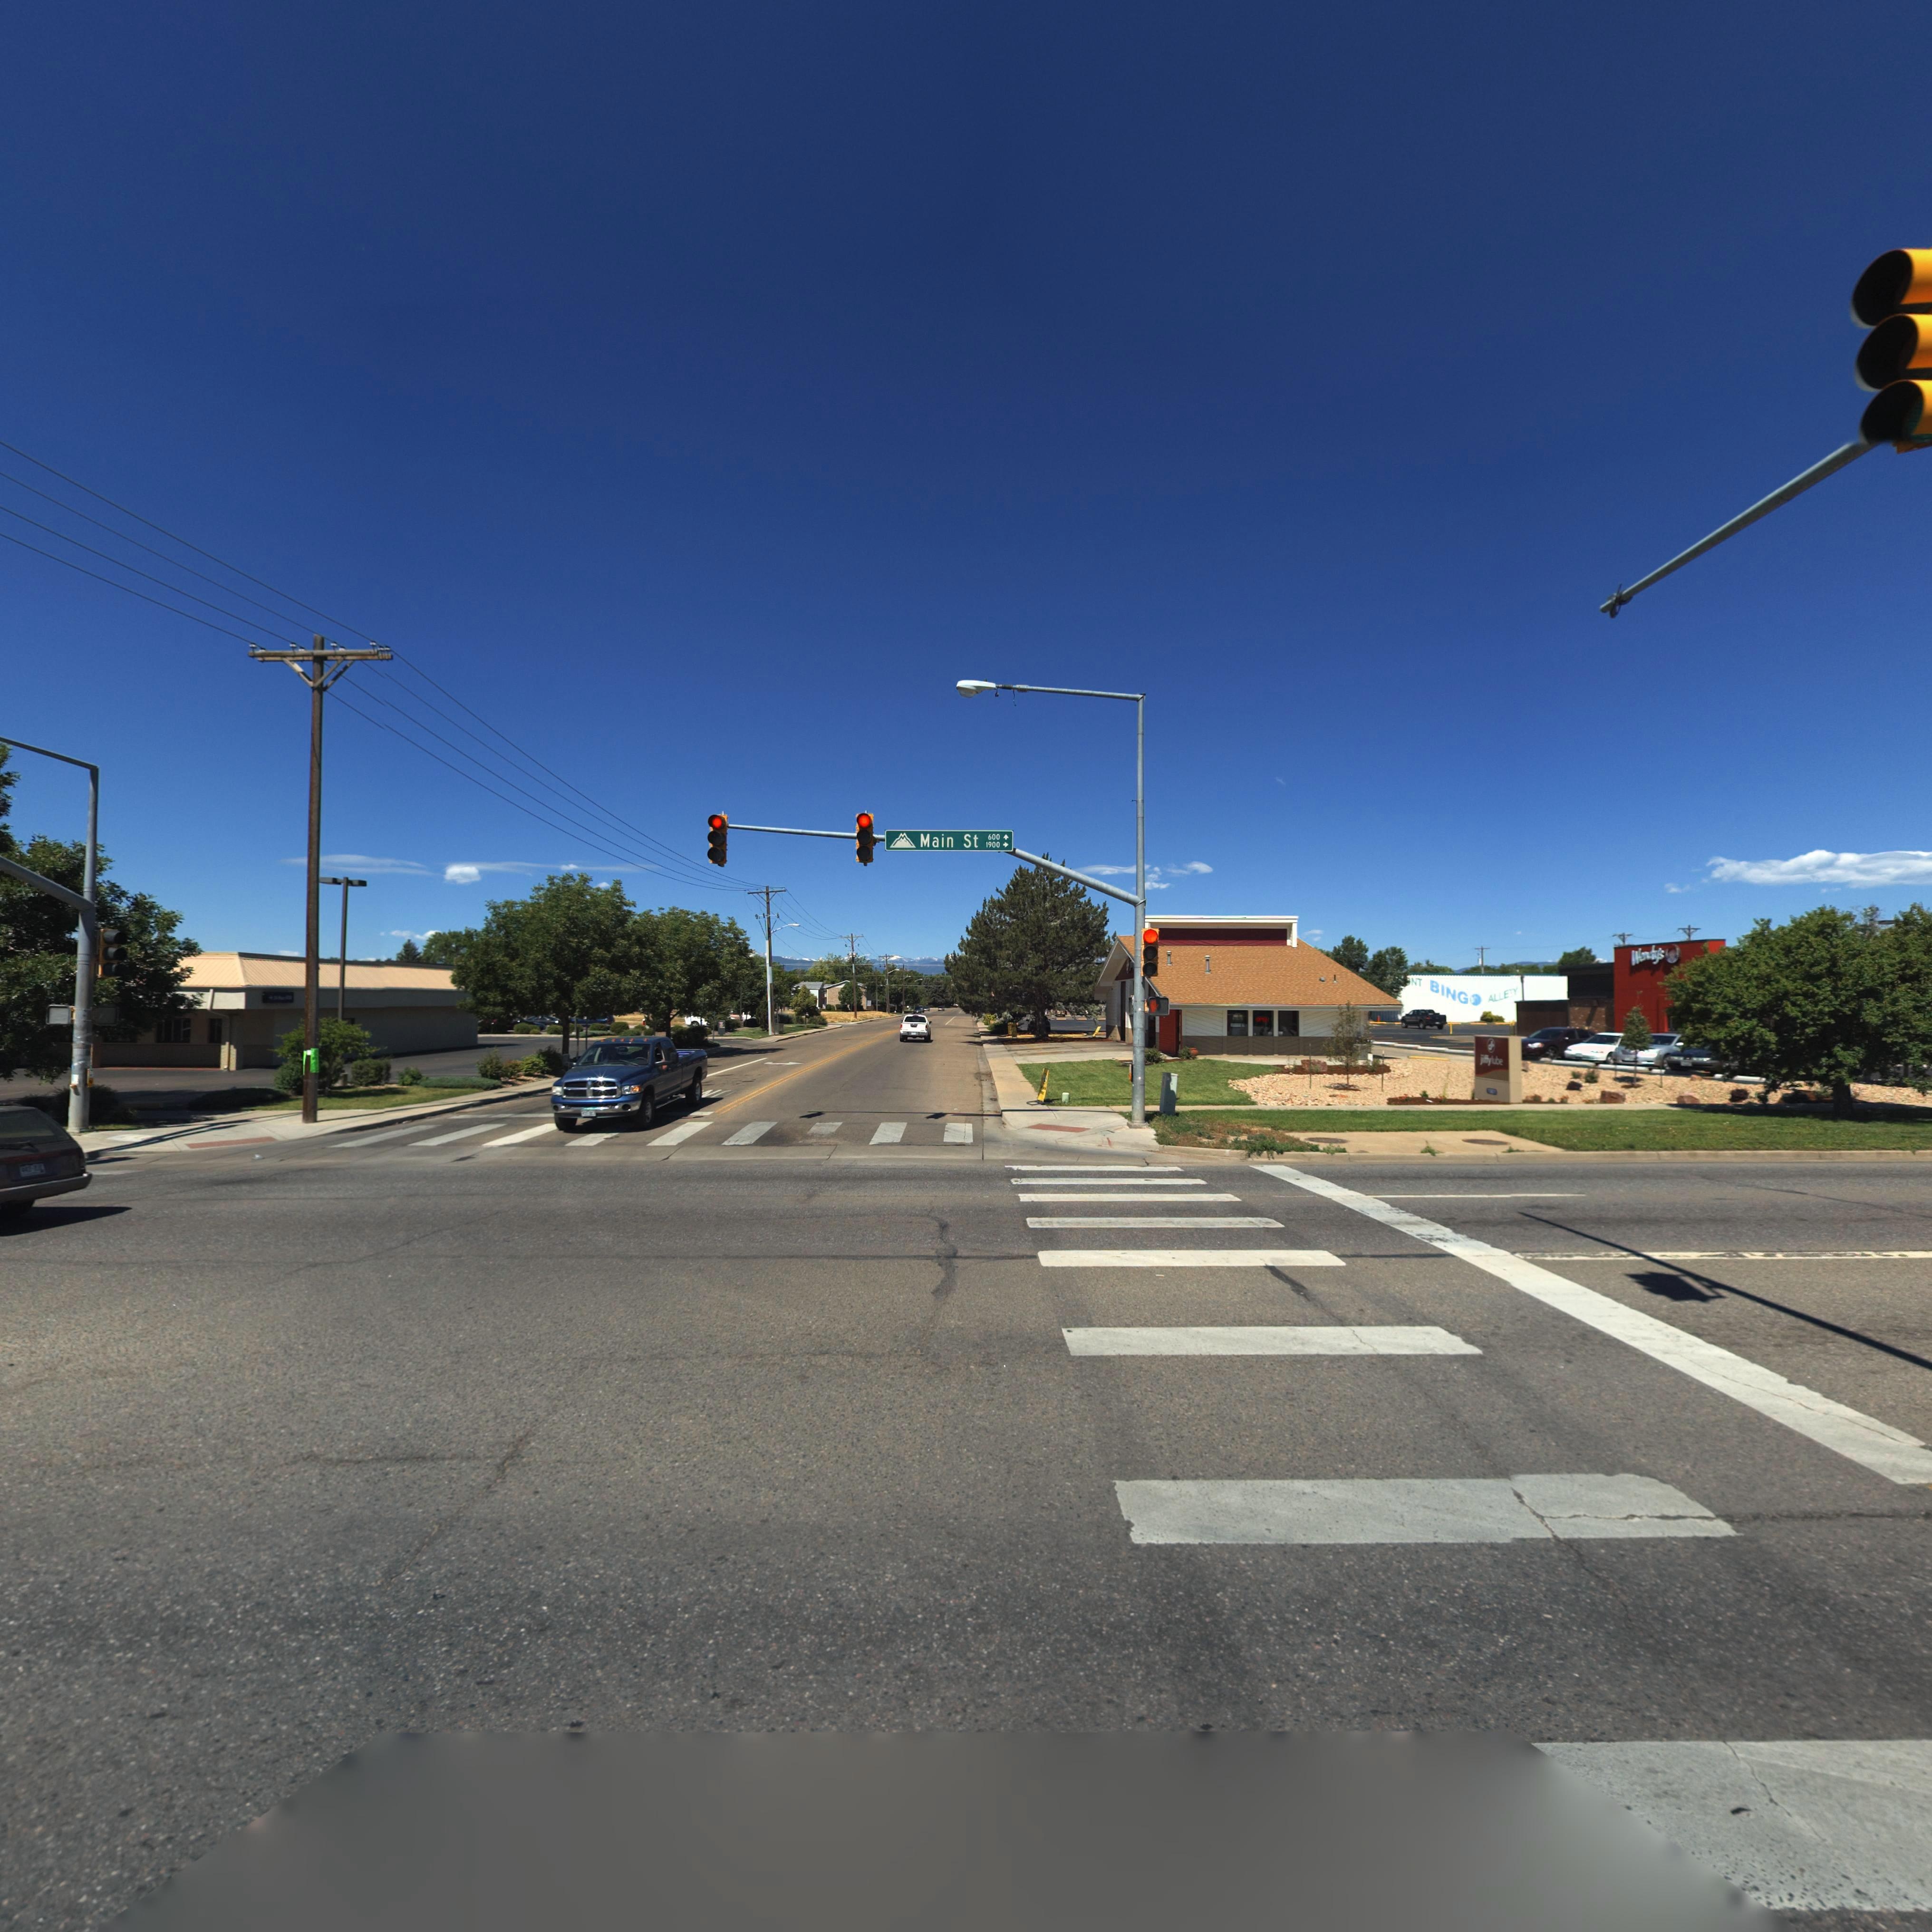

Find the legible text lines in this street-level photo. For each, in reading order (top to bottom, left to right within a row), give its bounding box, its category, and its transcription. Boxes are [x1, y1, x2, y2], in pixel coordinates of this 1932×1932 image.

[919, 833, 979, 848] StreetName: Main St
[987, 833, 1000, 840] StreetNumberRange: 600
[985, 841, 1009, 848] StreetNumberRange: 1900->
[1630, 944, 1665, 967] BusinessName: Wendy's
[1411, 977, 1519, 1007] BusinessName: NT BING* ALLEY
[1479, 1054, 1504, 1066] BusinessName: jiffylube